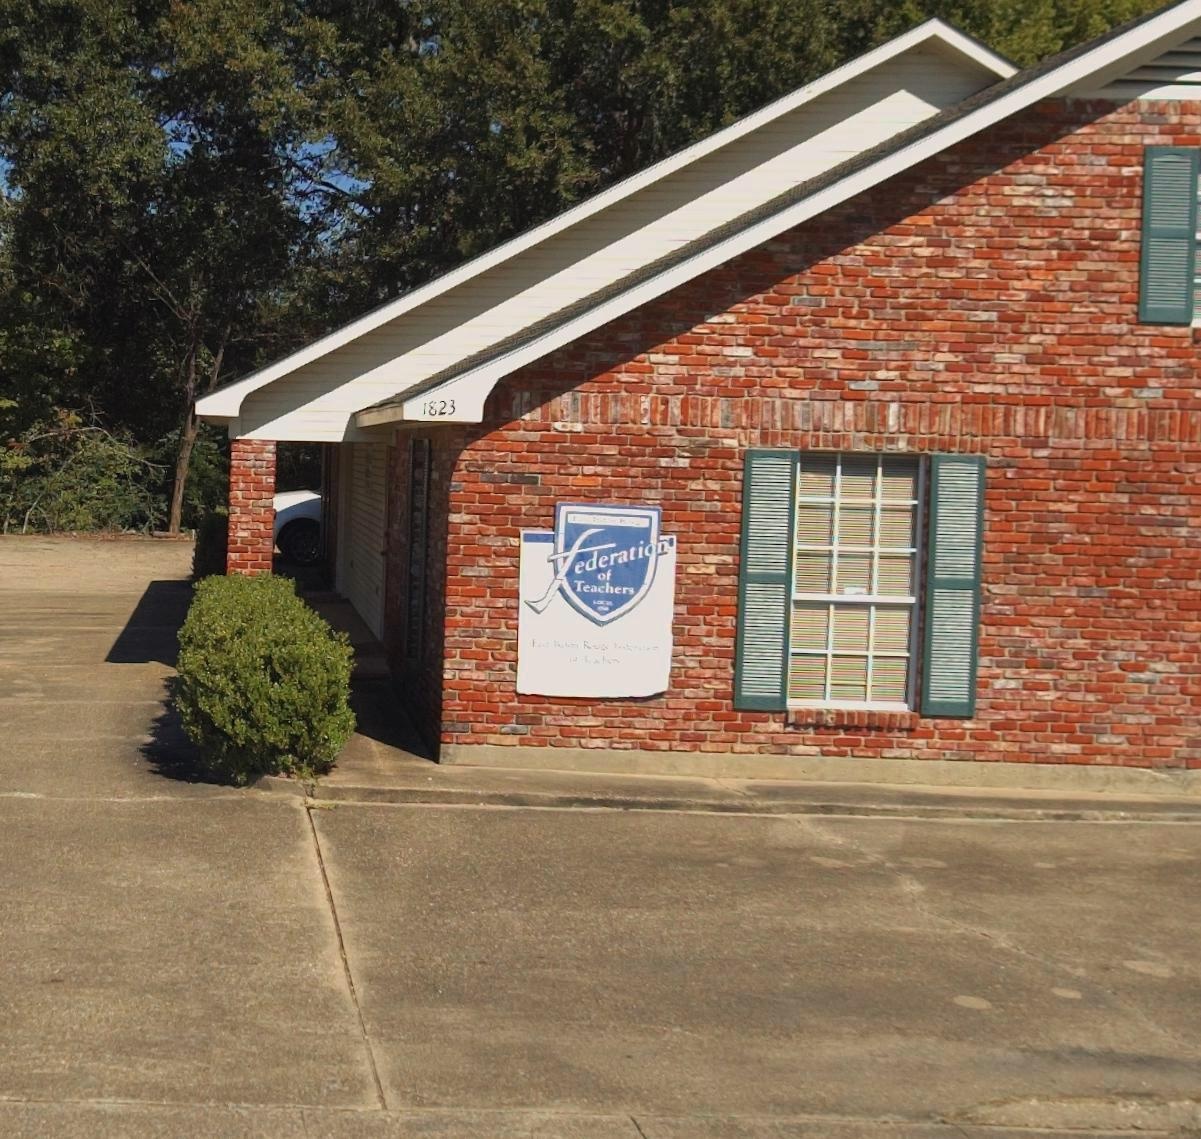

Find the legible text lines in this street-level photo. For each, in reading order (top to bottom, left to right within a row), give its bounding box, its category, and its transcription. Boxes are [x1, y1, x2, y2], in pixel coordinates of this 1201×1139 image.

[421, 396, 458, 419] StreetNumber: 1823
[518, 524, 671, 618] None: Federation
[595, 566, 614, 583] None: of
[572, 577, 638, 597] None: Teachers